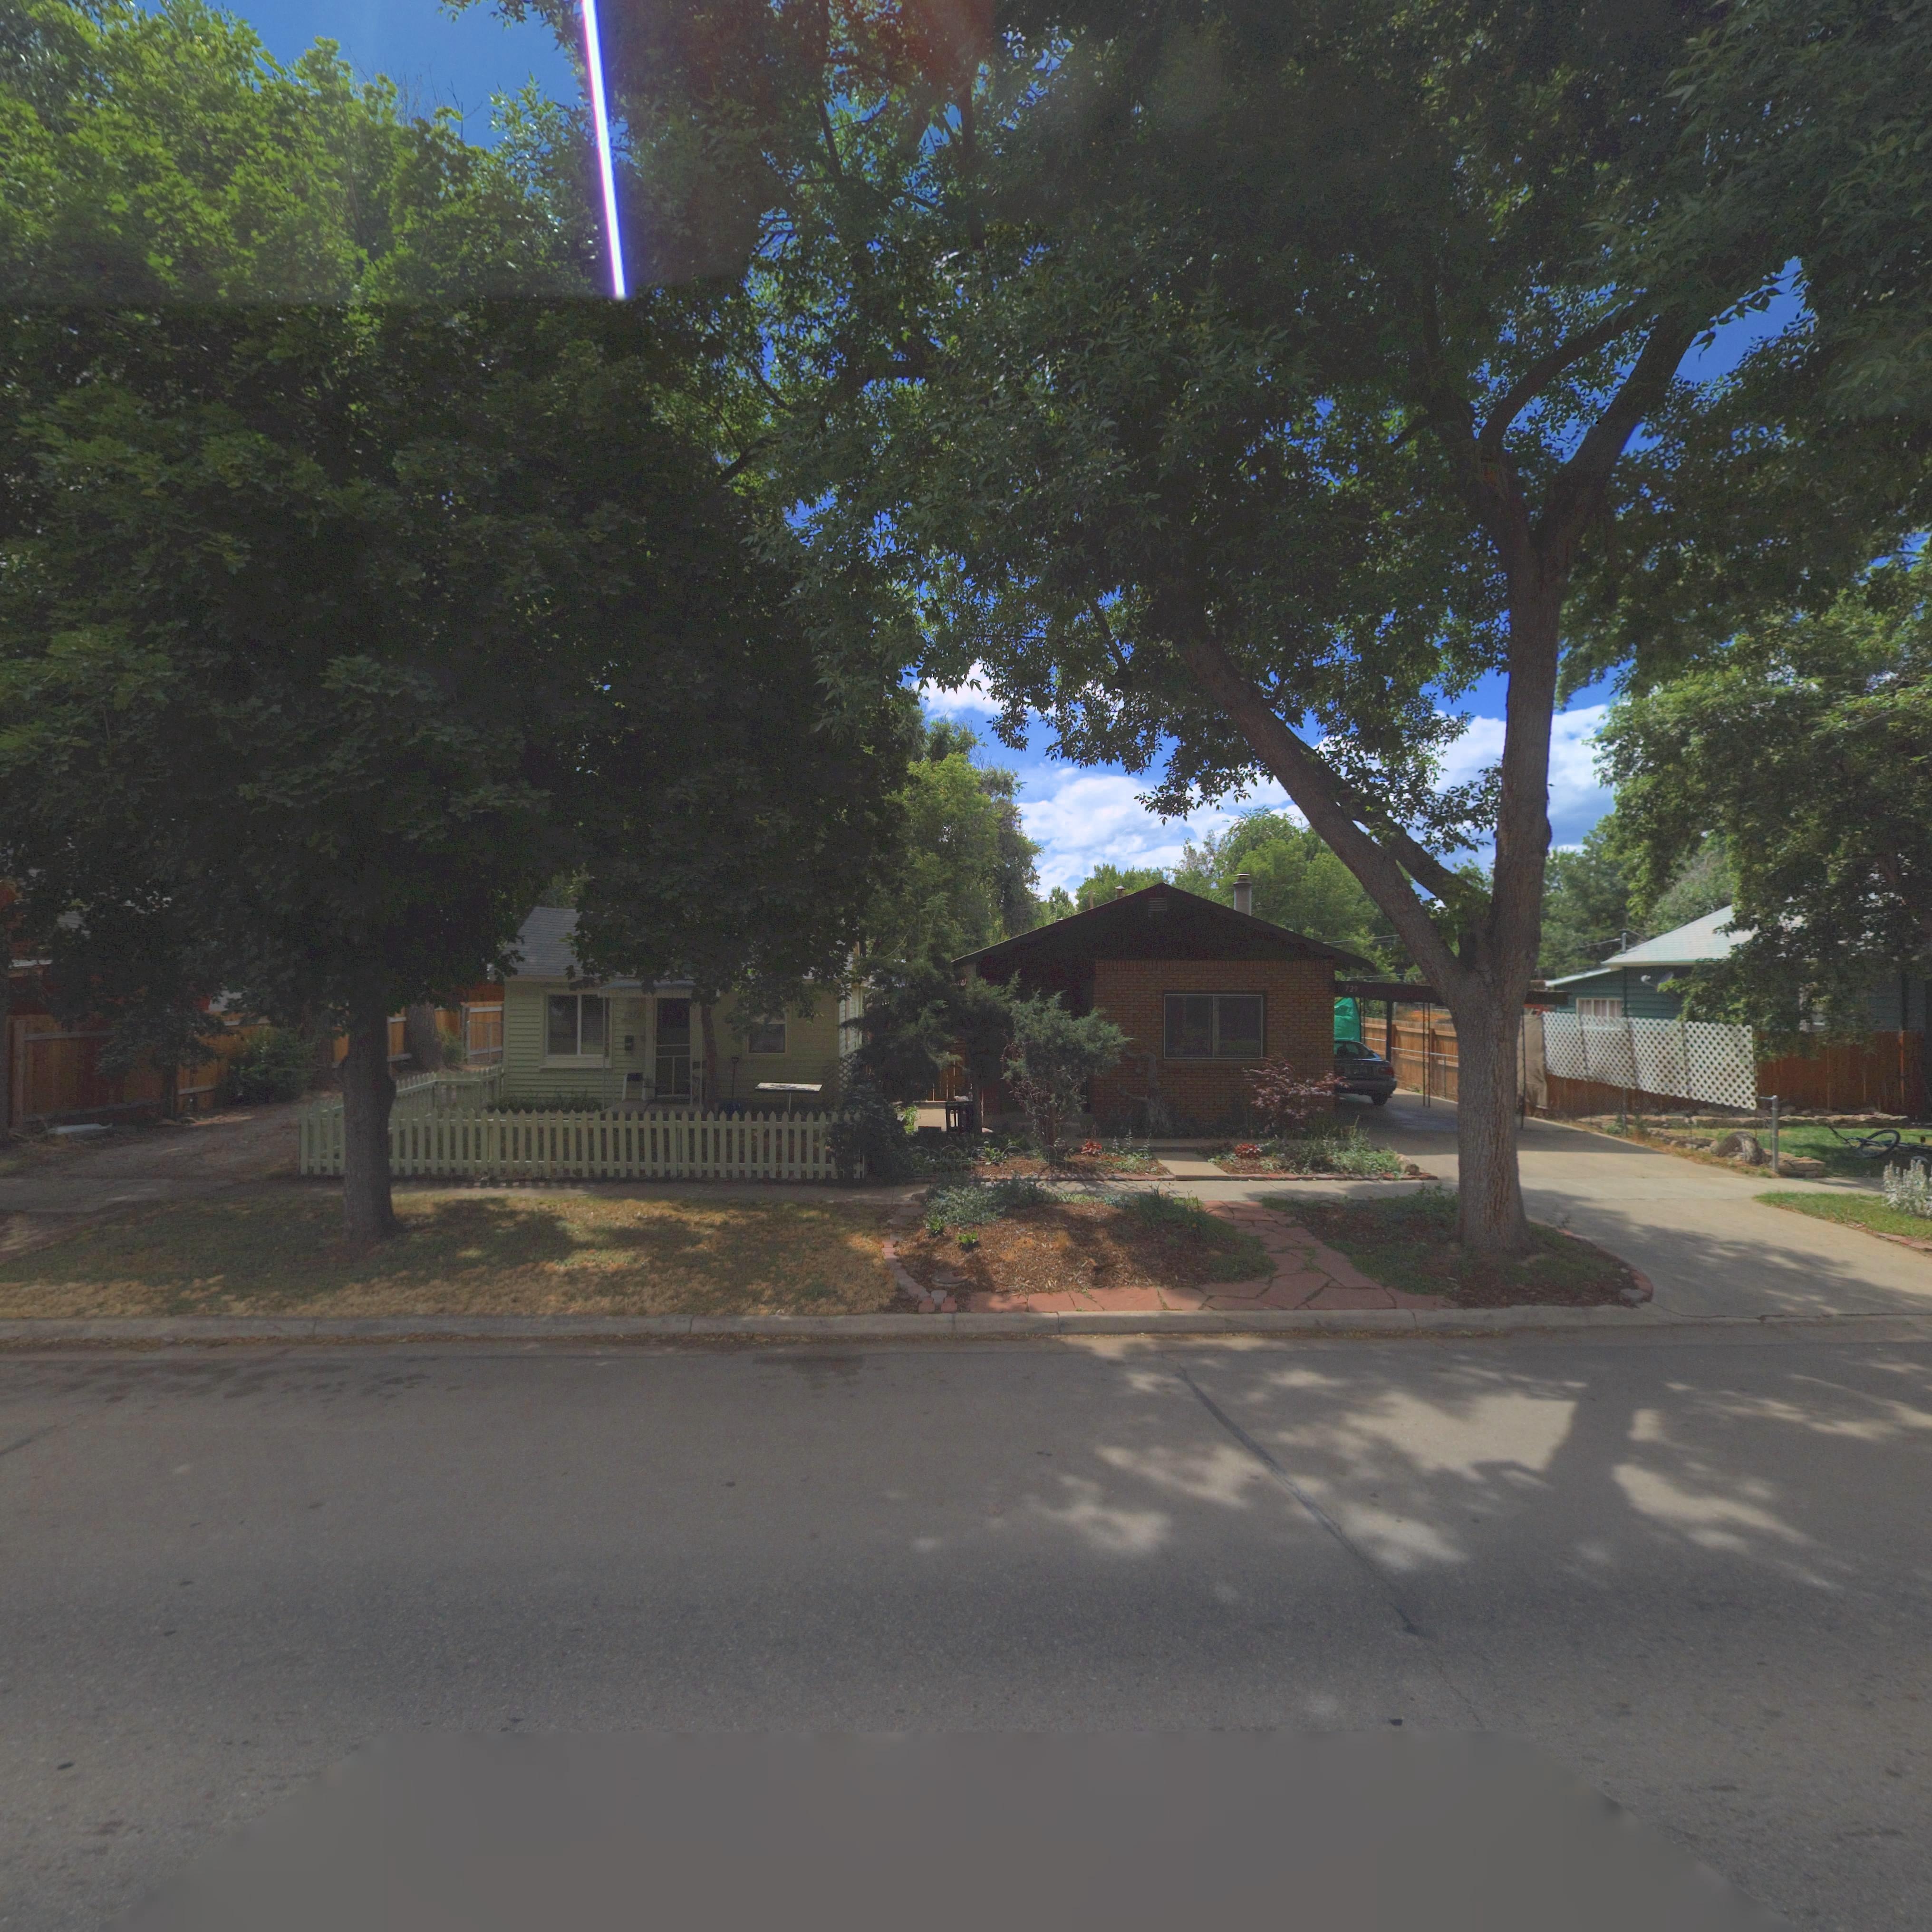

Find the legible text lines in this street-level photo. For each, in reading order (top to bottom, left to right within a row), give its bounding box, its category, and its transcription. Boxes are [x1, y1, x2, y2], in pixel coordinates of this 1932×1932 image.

[1345, 985, 1358, 993] StreetNumber: 729
[623, 1010, 638, 1018] StreetNumber: 727